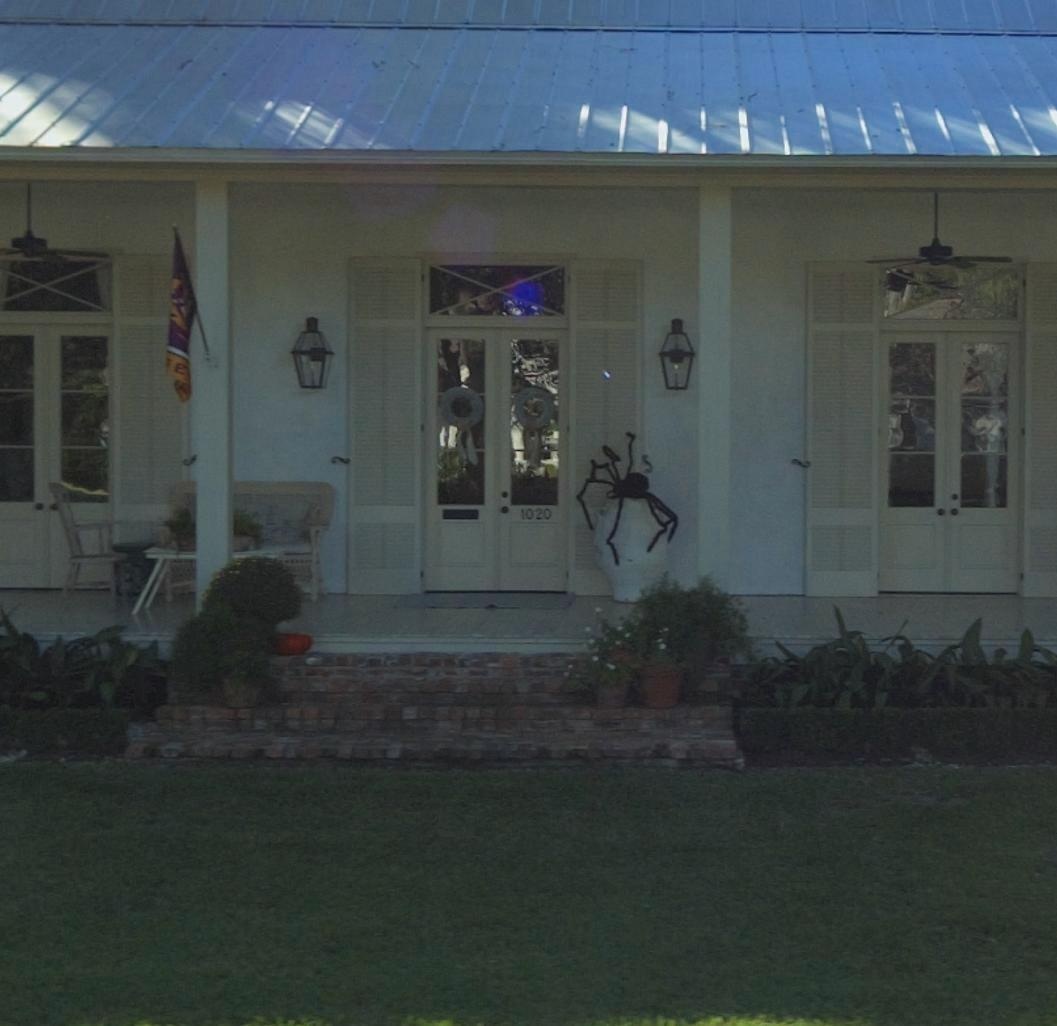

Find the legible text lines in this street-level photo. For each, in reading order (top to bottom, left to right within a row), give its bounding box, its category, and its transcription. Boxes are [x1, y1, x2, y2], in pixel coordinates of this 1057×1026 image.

[518, 506, 554, 522] StreetNumber: 1020